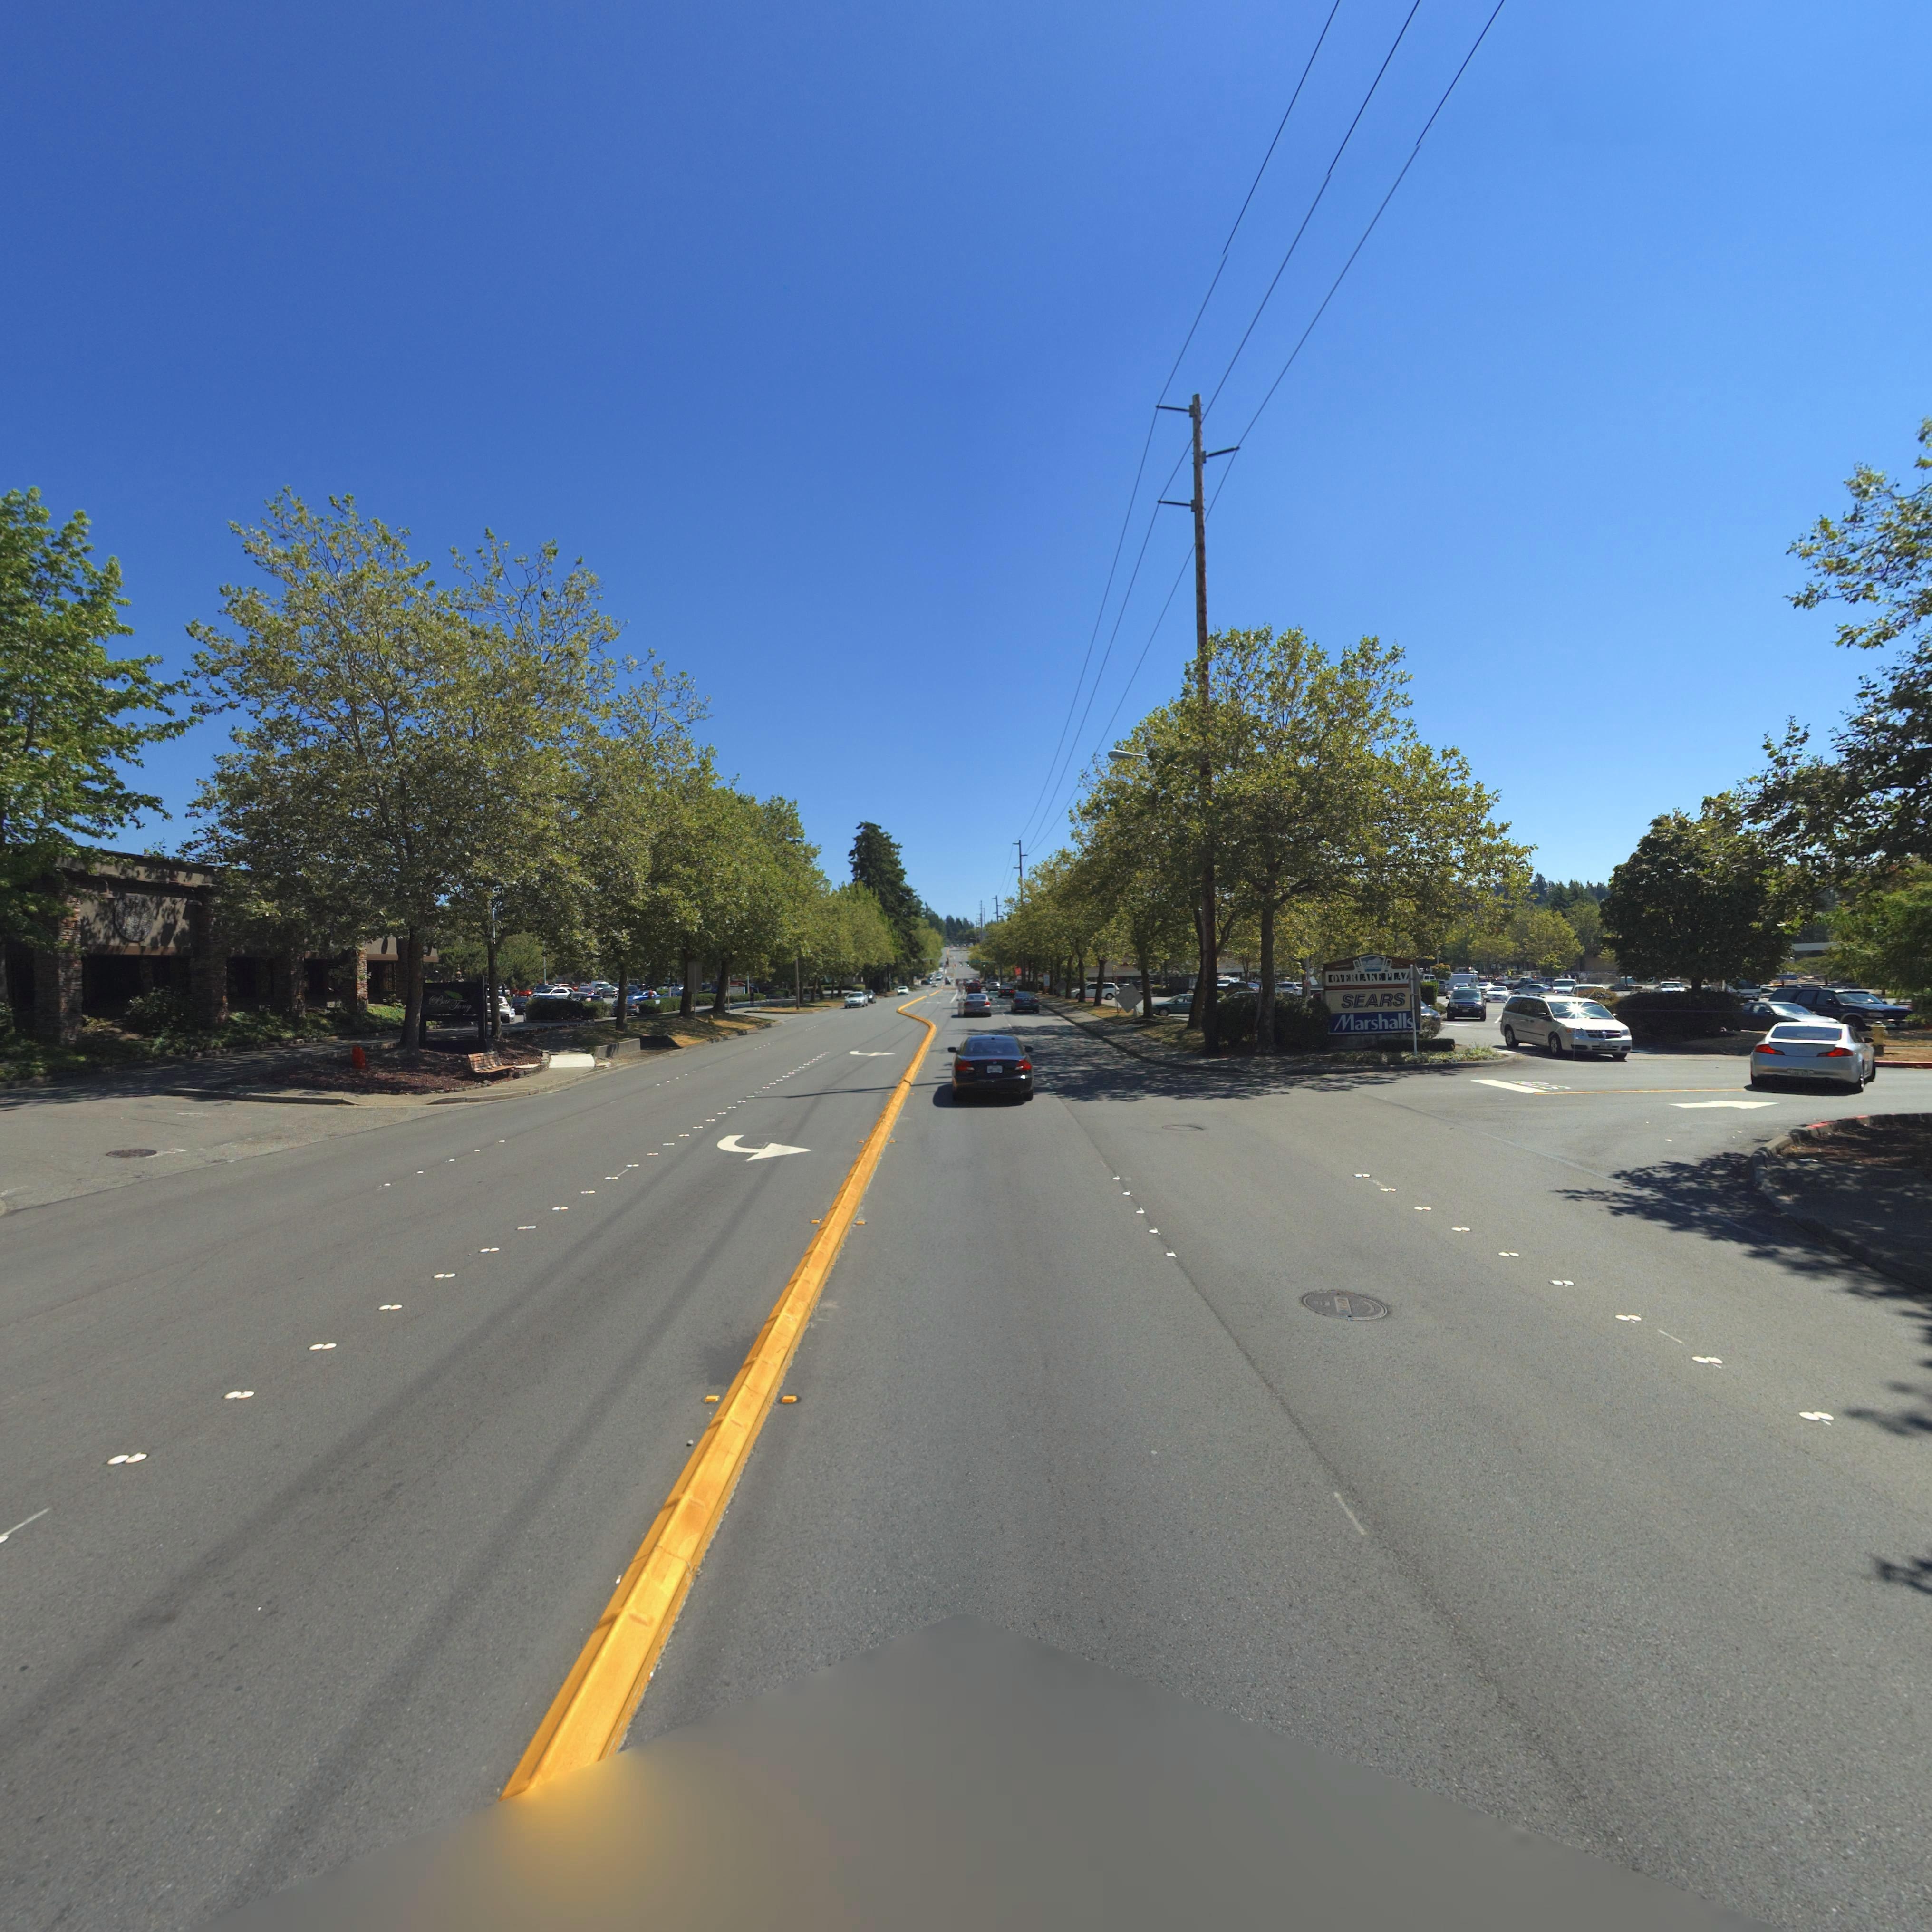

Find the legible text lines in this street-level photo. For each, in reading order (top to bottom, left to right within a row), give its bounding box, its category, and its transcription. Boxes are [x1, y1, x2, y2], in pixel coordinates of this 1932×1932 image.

[1340, 990, 1406, 1009] None: SEARS
[1331, 1013, 1412, 1032] BusinessName: Marshalls